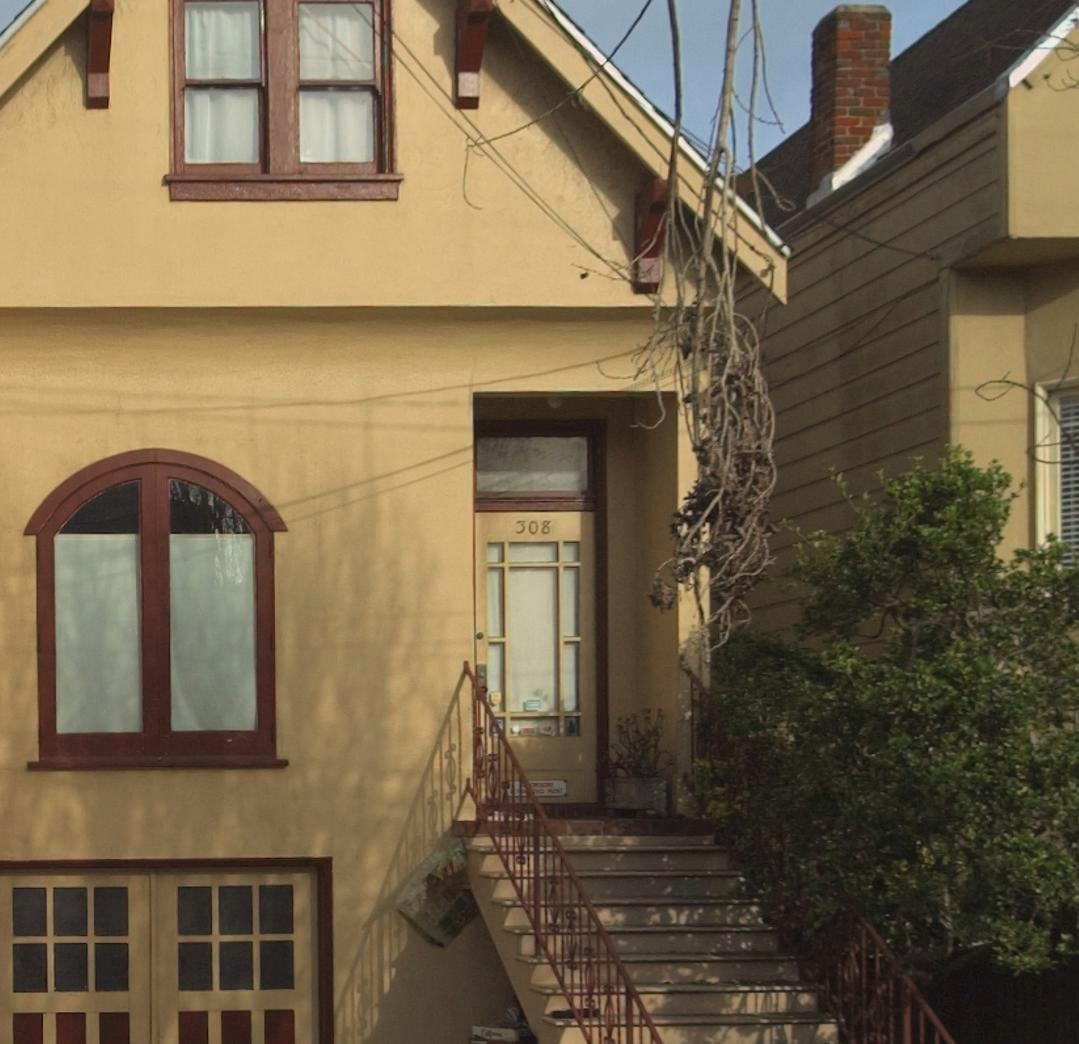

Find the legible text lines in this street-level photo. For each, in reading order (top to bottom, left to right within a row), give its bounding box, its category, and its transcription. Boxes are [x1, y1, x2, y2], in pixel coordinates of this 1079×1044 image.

[515, 519, 552, 536] StreetNumber: 308